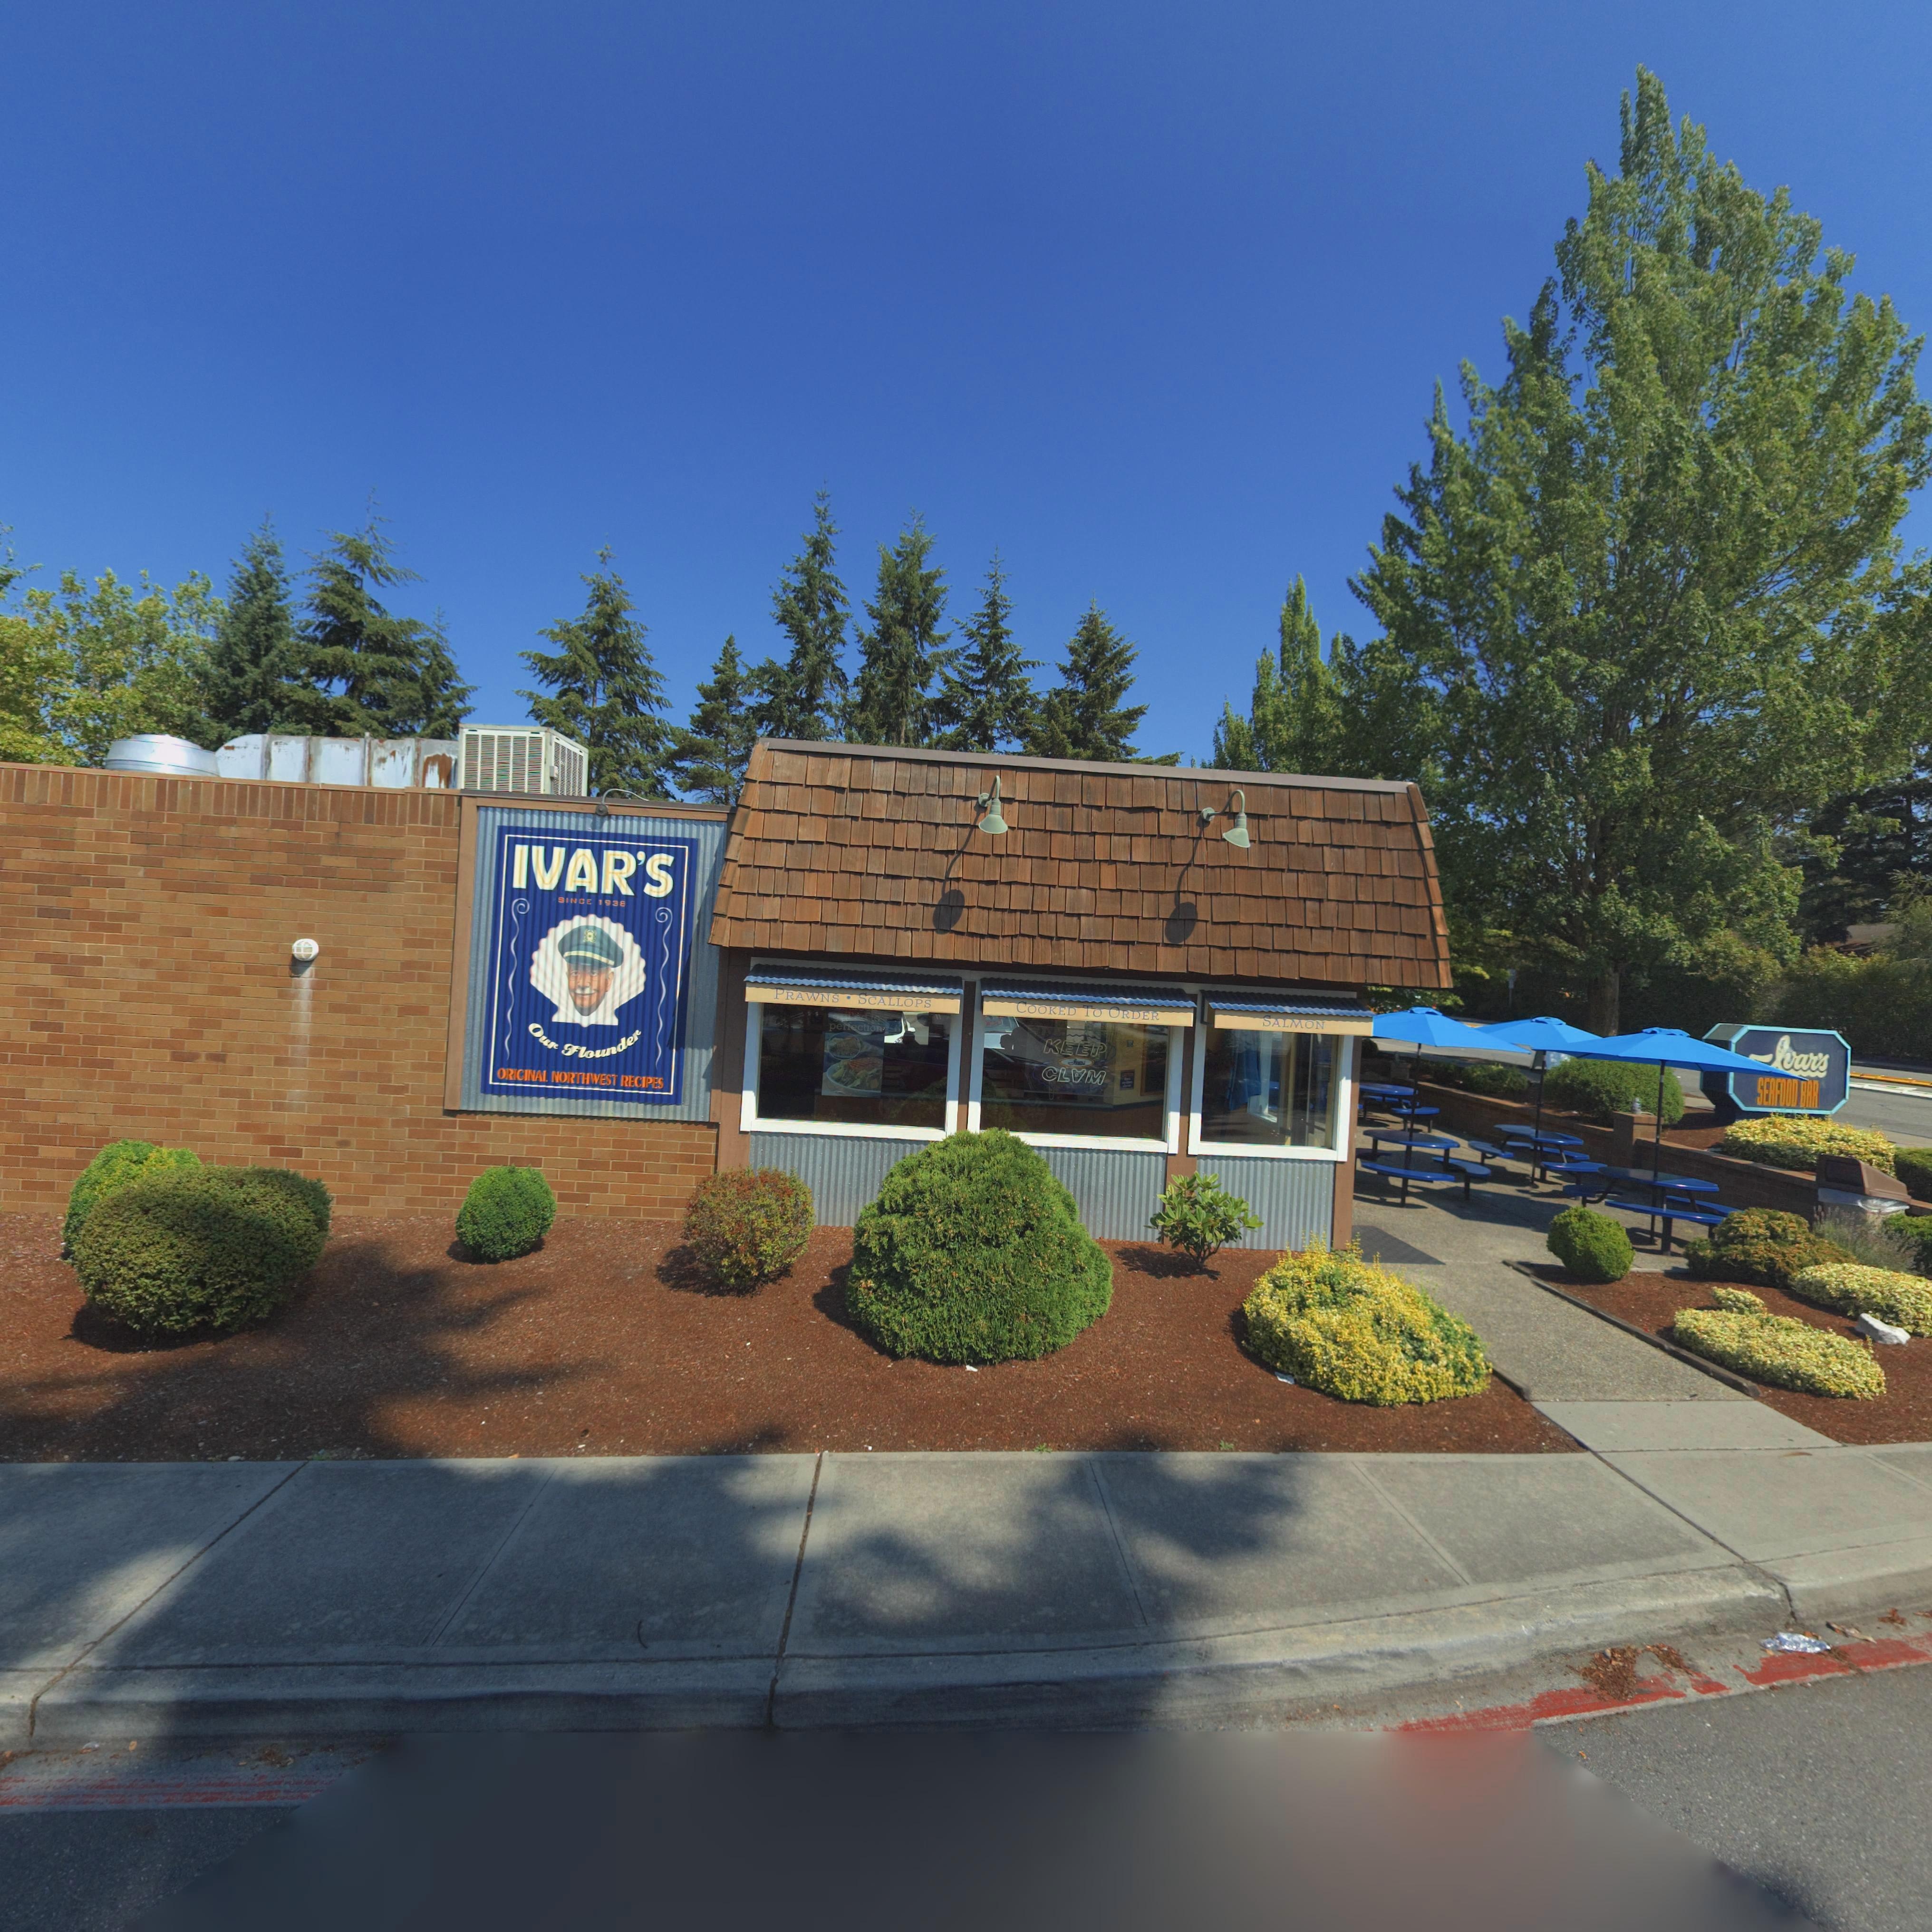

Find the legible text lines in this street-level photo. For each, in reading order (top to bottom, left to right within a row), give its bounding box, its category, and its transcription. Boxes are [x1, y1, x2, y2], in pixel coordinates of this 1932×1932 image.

[508, 841, 675, 902] BusinessName: IVAR'S
[556, 896, 630, 907] None: SINCE 1938
[773, 985, 933, 1009] None: PRAWNS * SCALLOPS
[1014, 999, 1160, 1022] None: COOKED TO ORDER
[1262, 1013, 1325, 1030] None: SALMON
[527, 1022, 643, 1059] None: Our Flounder
[1040, 1035, 1114, 1064] None: KEEP
[1777, 1033, 1830, 1080] BusinessName: *var's
[496, 1064, 667, 1090] None: ORIGINAL NORTHWEST RECIPES
[1755, 1075, 1820, 1108] BusinessName: SEAFOOD BAR